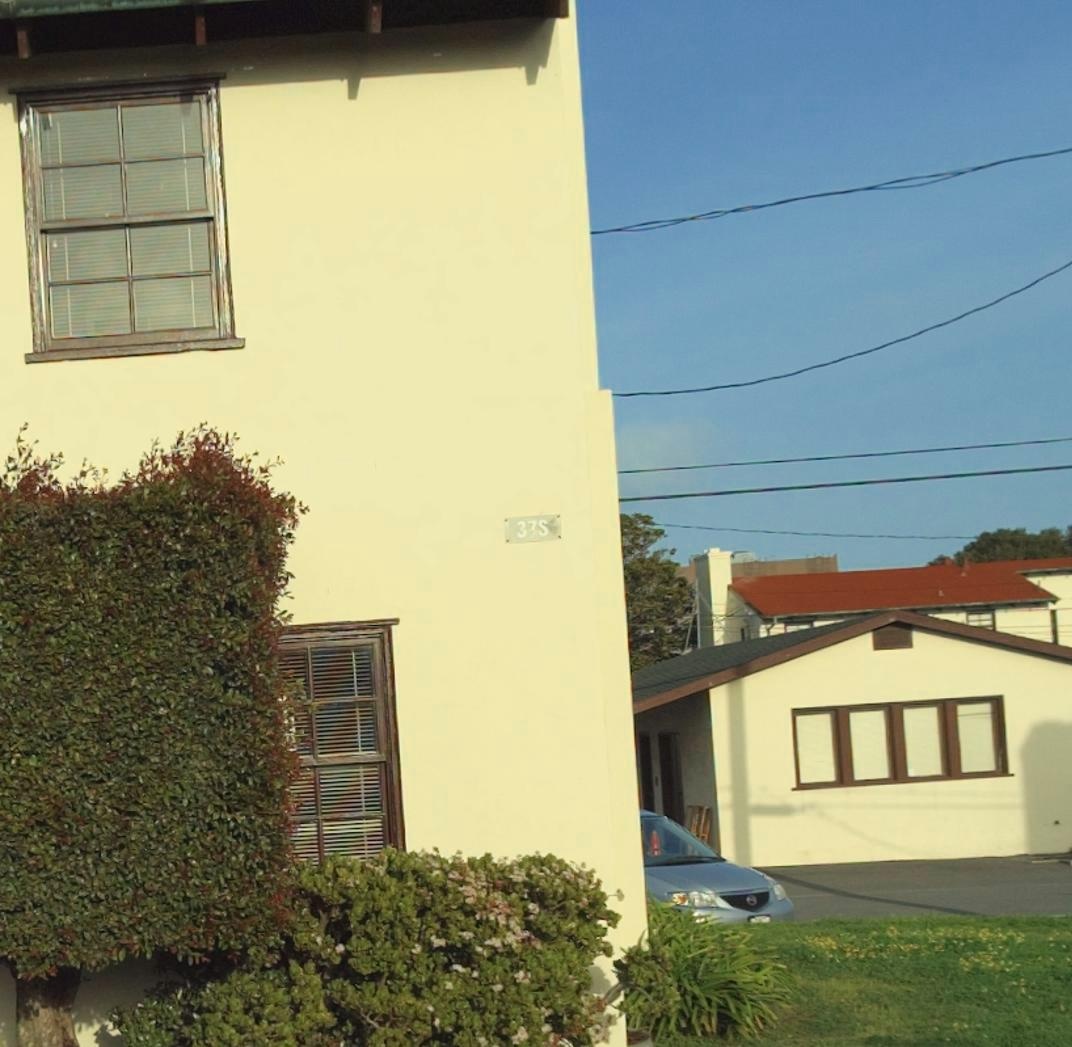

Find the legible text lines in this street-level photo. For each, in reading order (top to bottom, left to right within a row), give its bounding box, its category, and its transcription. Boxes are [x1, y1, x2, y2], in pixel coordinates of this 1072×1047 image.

[514, 517, 551, 540] StreetNumber: 37S